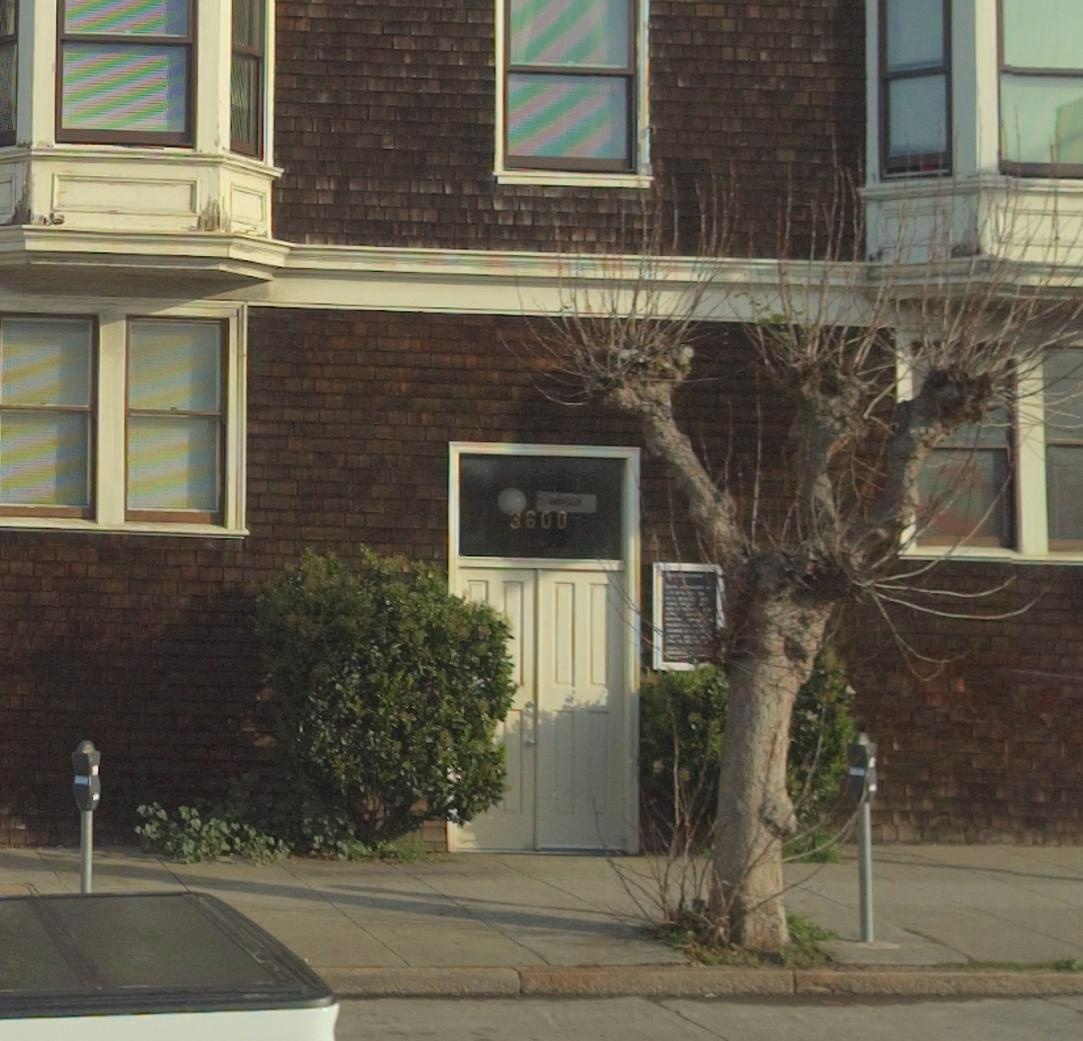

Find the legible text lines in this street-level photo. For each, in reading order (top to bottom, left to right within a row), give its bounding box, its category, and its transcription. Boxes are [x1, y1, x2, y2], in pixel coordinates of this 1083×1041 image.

[507, 507, 570, 532] StreetNumber: 3600